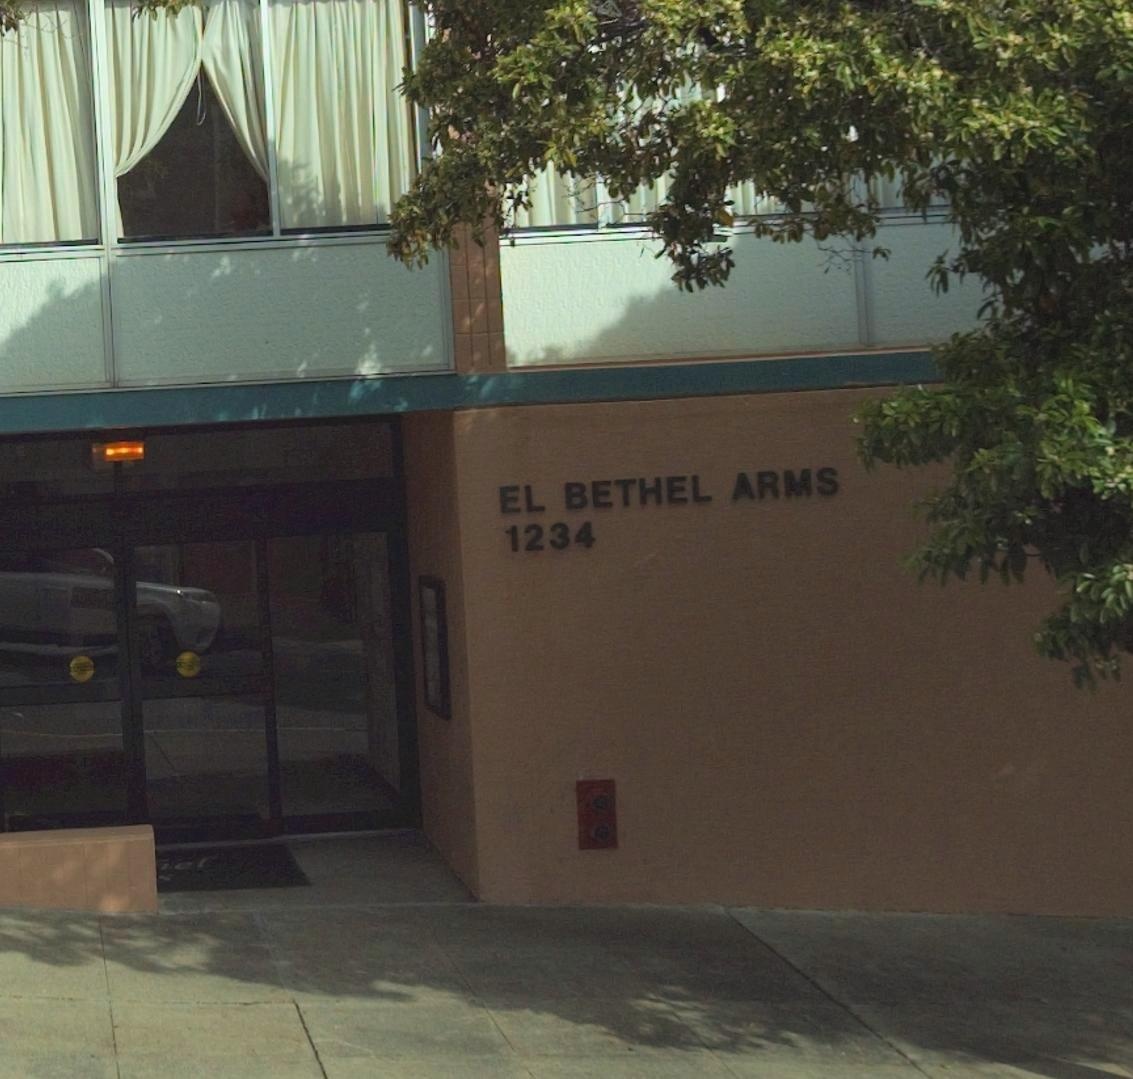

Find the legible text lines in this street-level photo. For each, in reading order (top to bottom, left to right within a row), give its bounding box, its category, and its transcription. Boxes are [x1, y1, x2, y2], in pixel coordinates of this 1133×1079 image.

[495, 462, 843, 518] BusinessName: EL BETHEL ARMS
[502, 518, 598, 556] StreetNumber: 1234